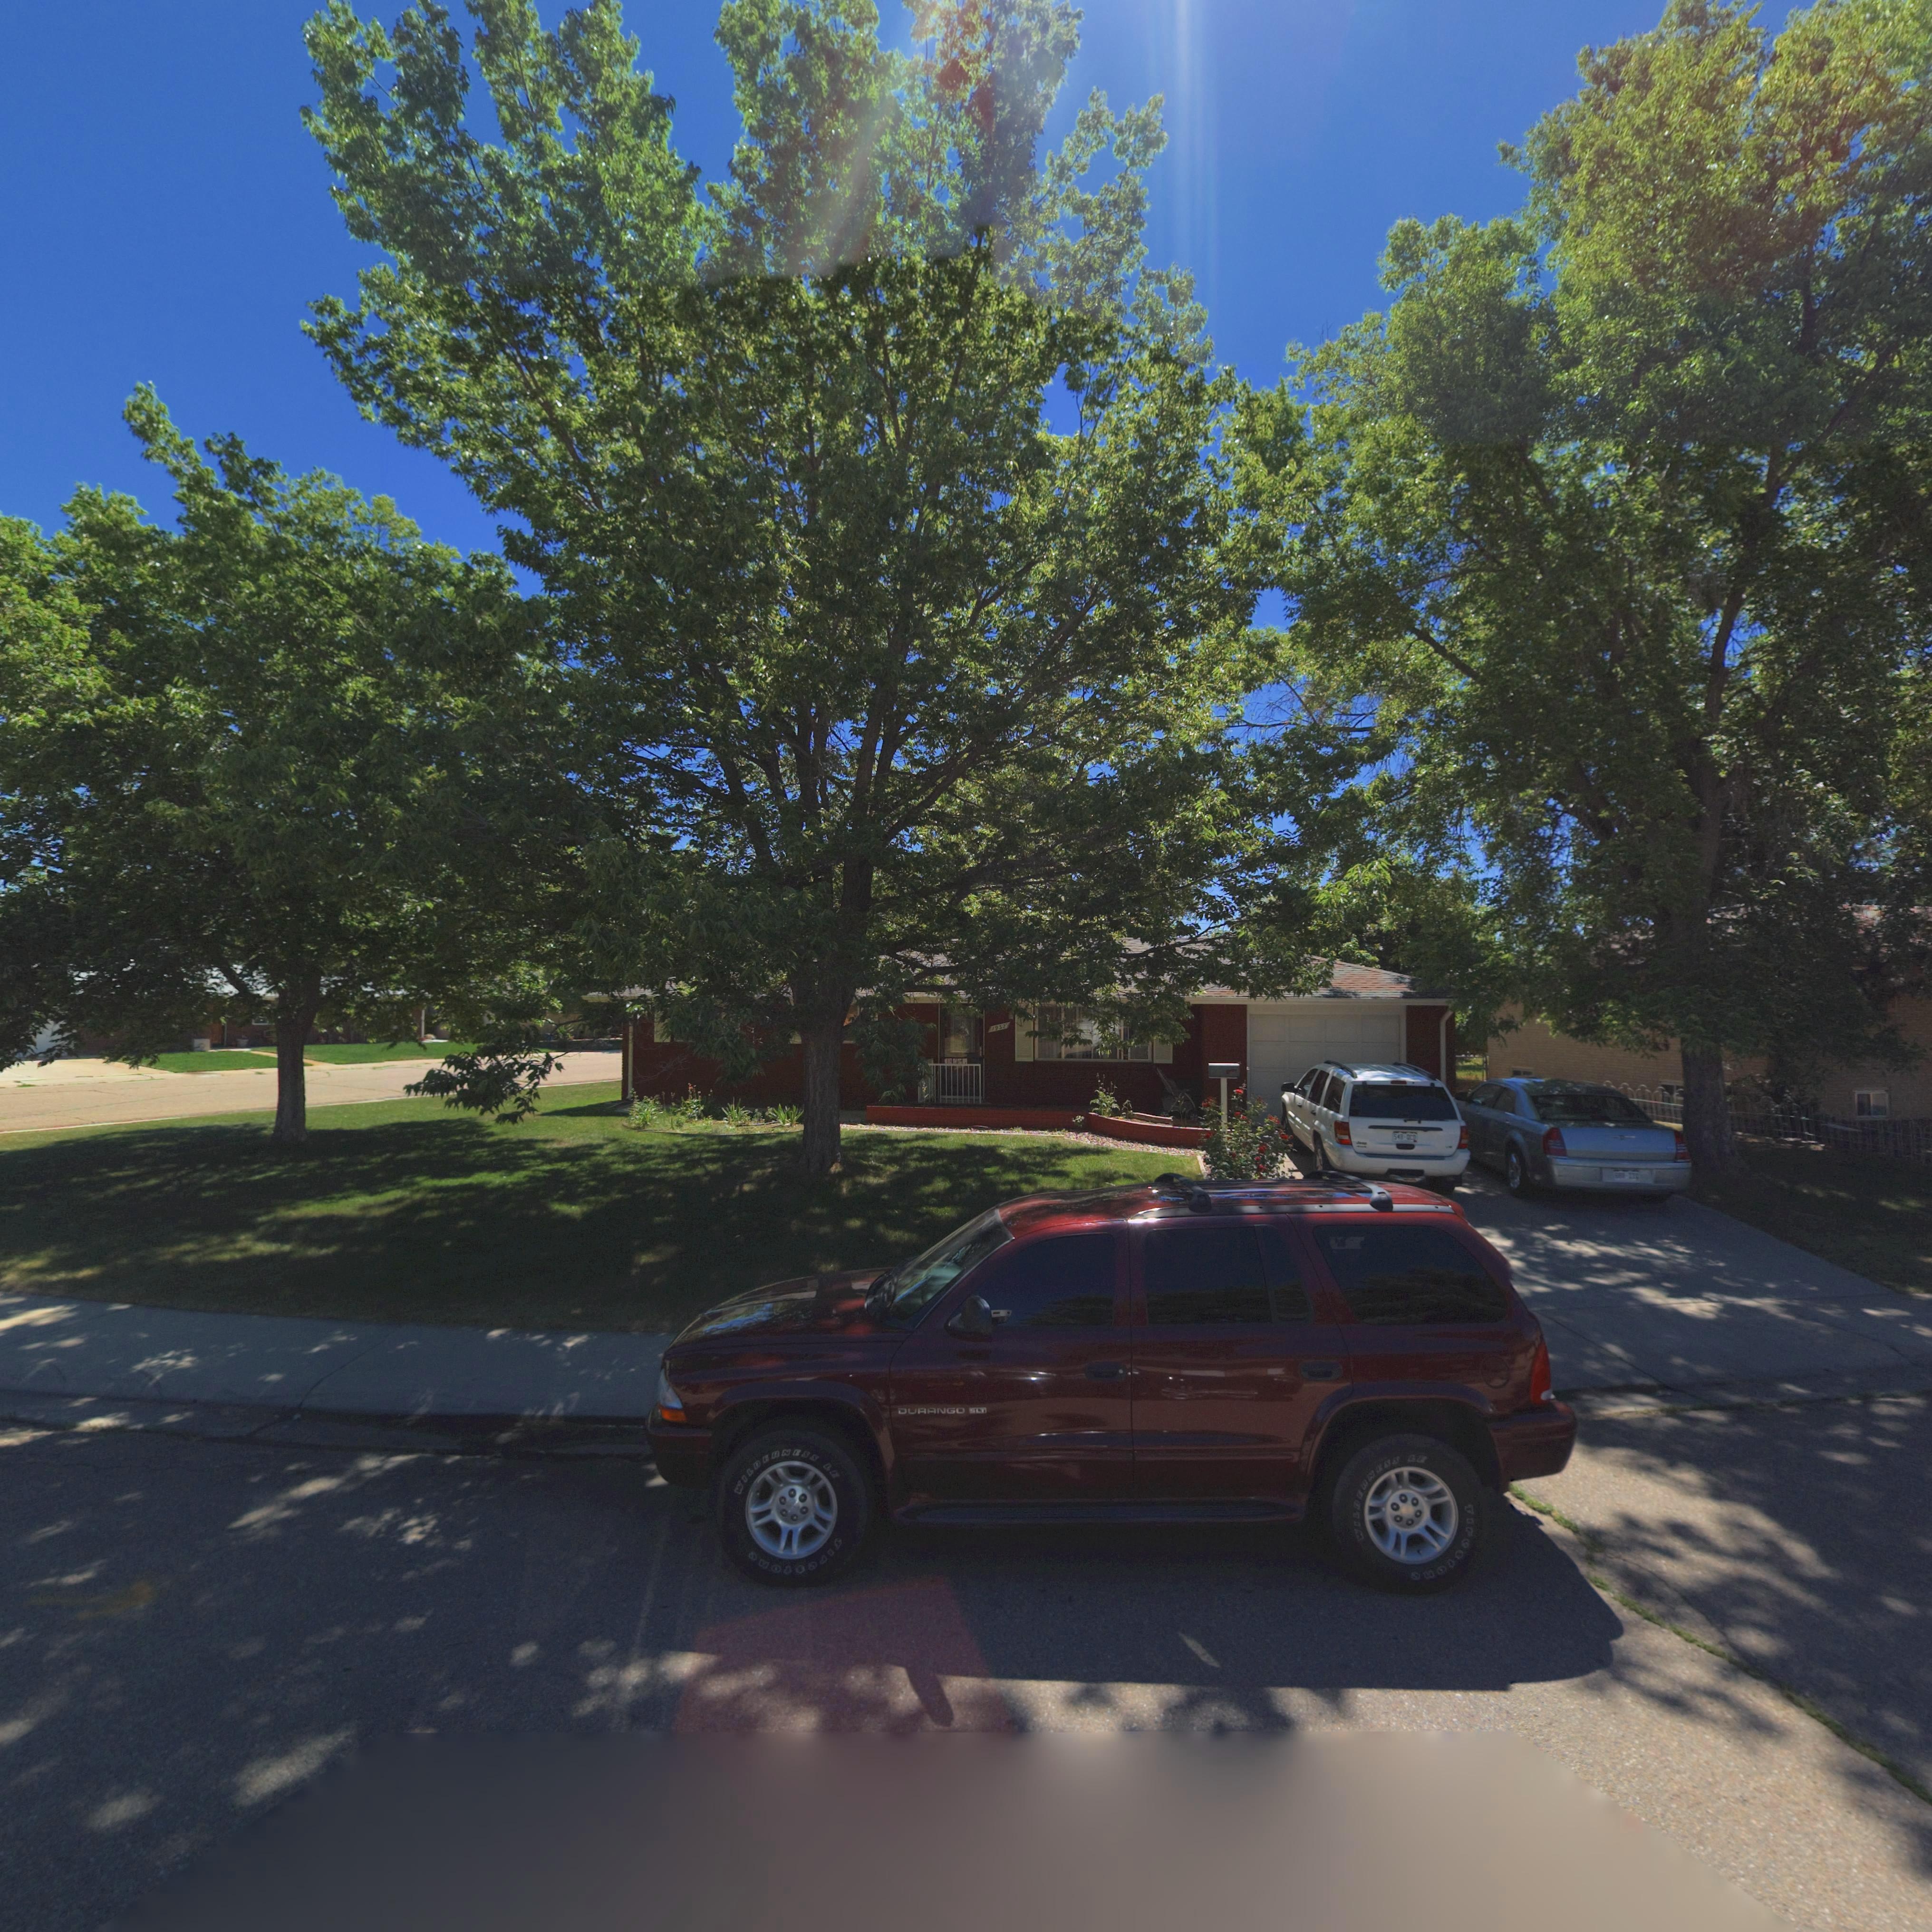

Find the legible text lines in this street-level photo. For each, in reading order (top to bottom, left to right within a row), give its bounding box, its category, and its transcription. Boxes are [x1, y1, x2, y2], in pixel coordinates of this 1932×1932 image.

[990, 1023, 1005, 1032] StreetNumber: 1932